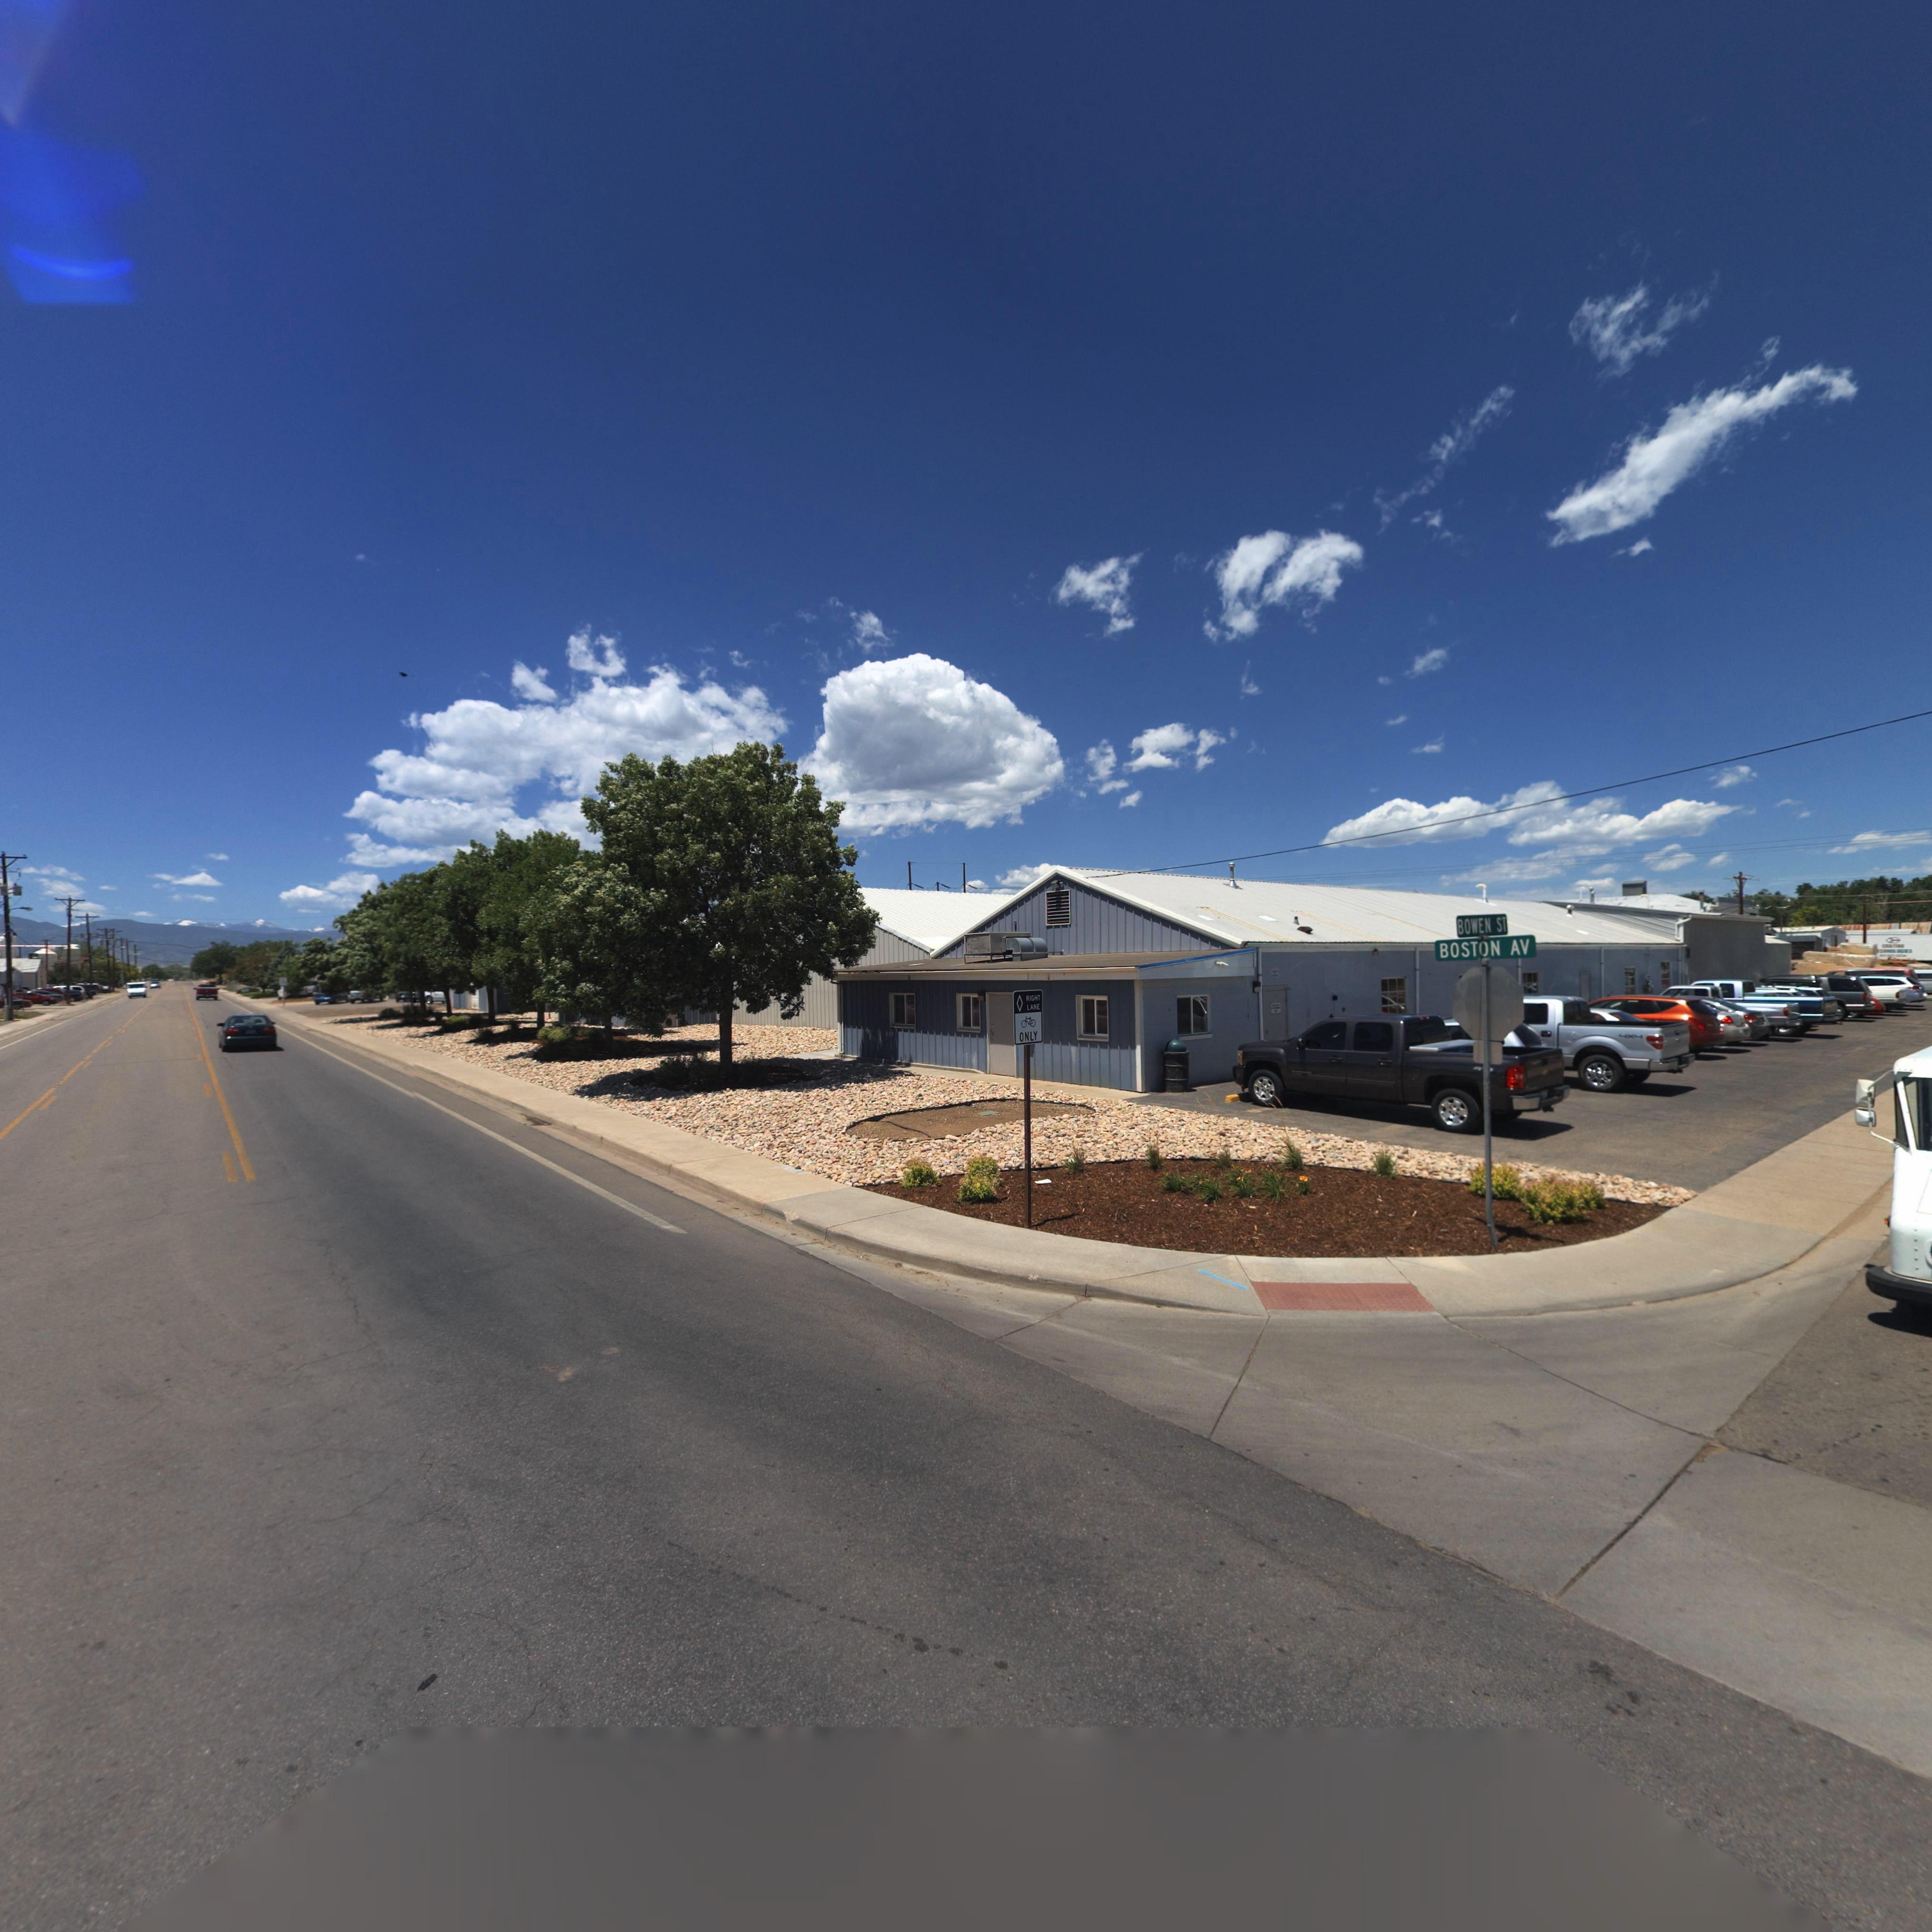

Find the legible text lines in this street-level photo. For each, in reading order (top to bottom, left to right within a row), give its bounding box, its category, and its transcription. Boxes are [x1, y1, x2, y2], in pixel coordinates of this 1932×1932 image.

[1456, 916, 1507, 935] StreetName: BOWEN ST
[1439, 938, 1530, 959] StreetName: BOSTON AV